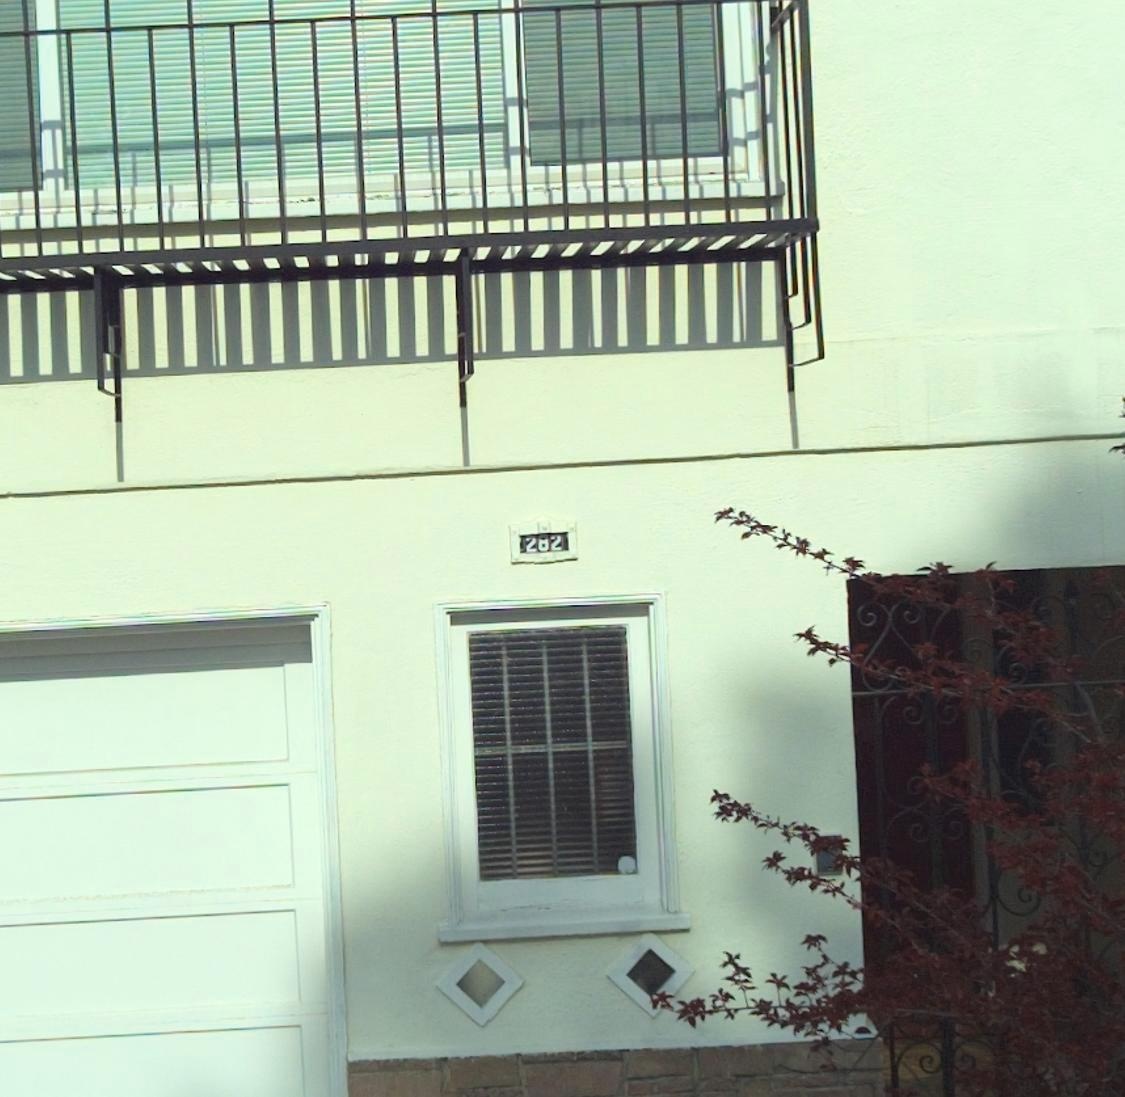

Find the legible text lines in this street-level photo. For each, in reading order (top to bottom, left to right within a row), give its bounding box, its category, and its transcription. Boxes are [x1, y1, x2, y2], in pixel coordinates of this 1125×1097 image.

[524, 534, 565, 553] StreetNumber: 282